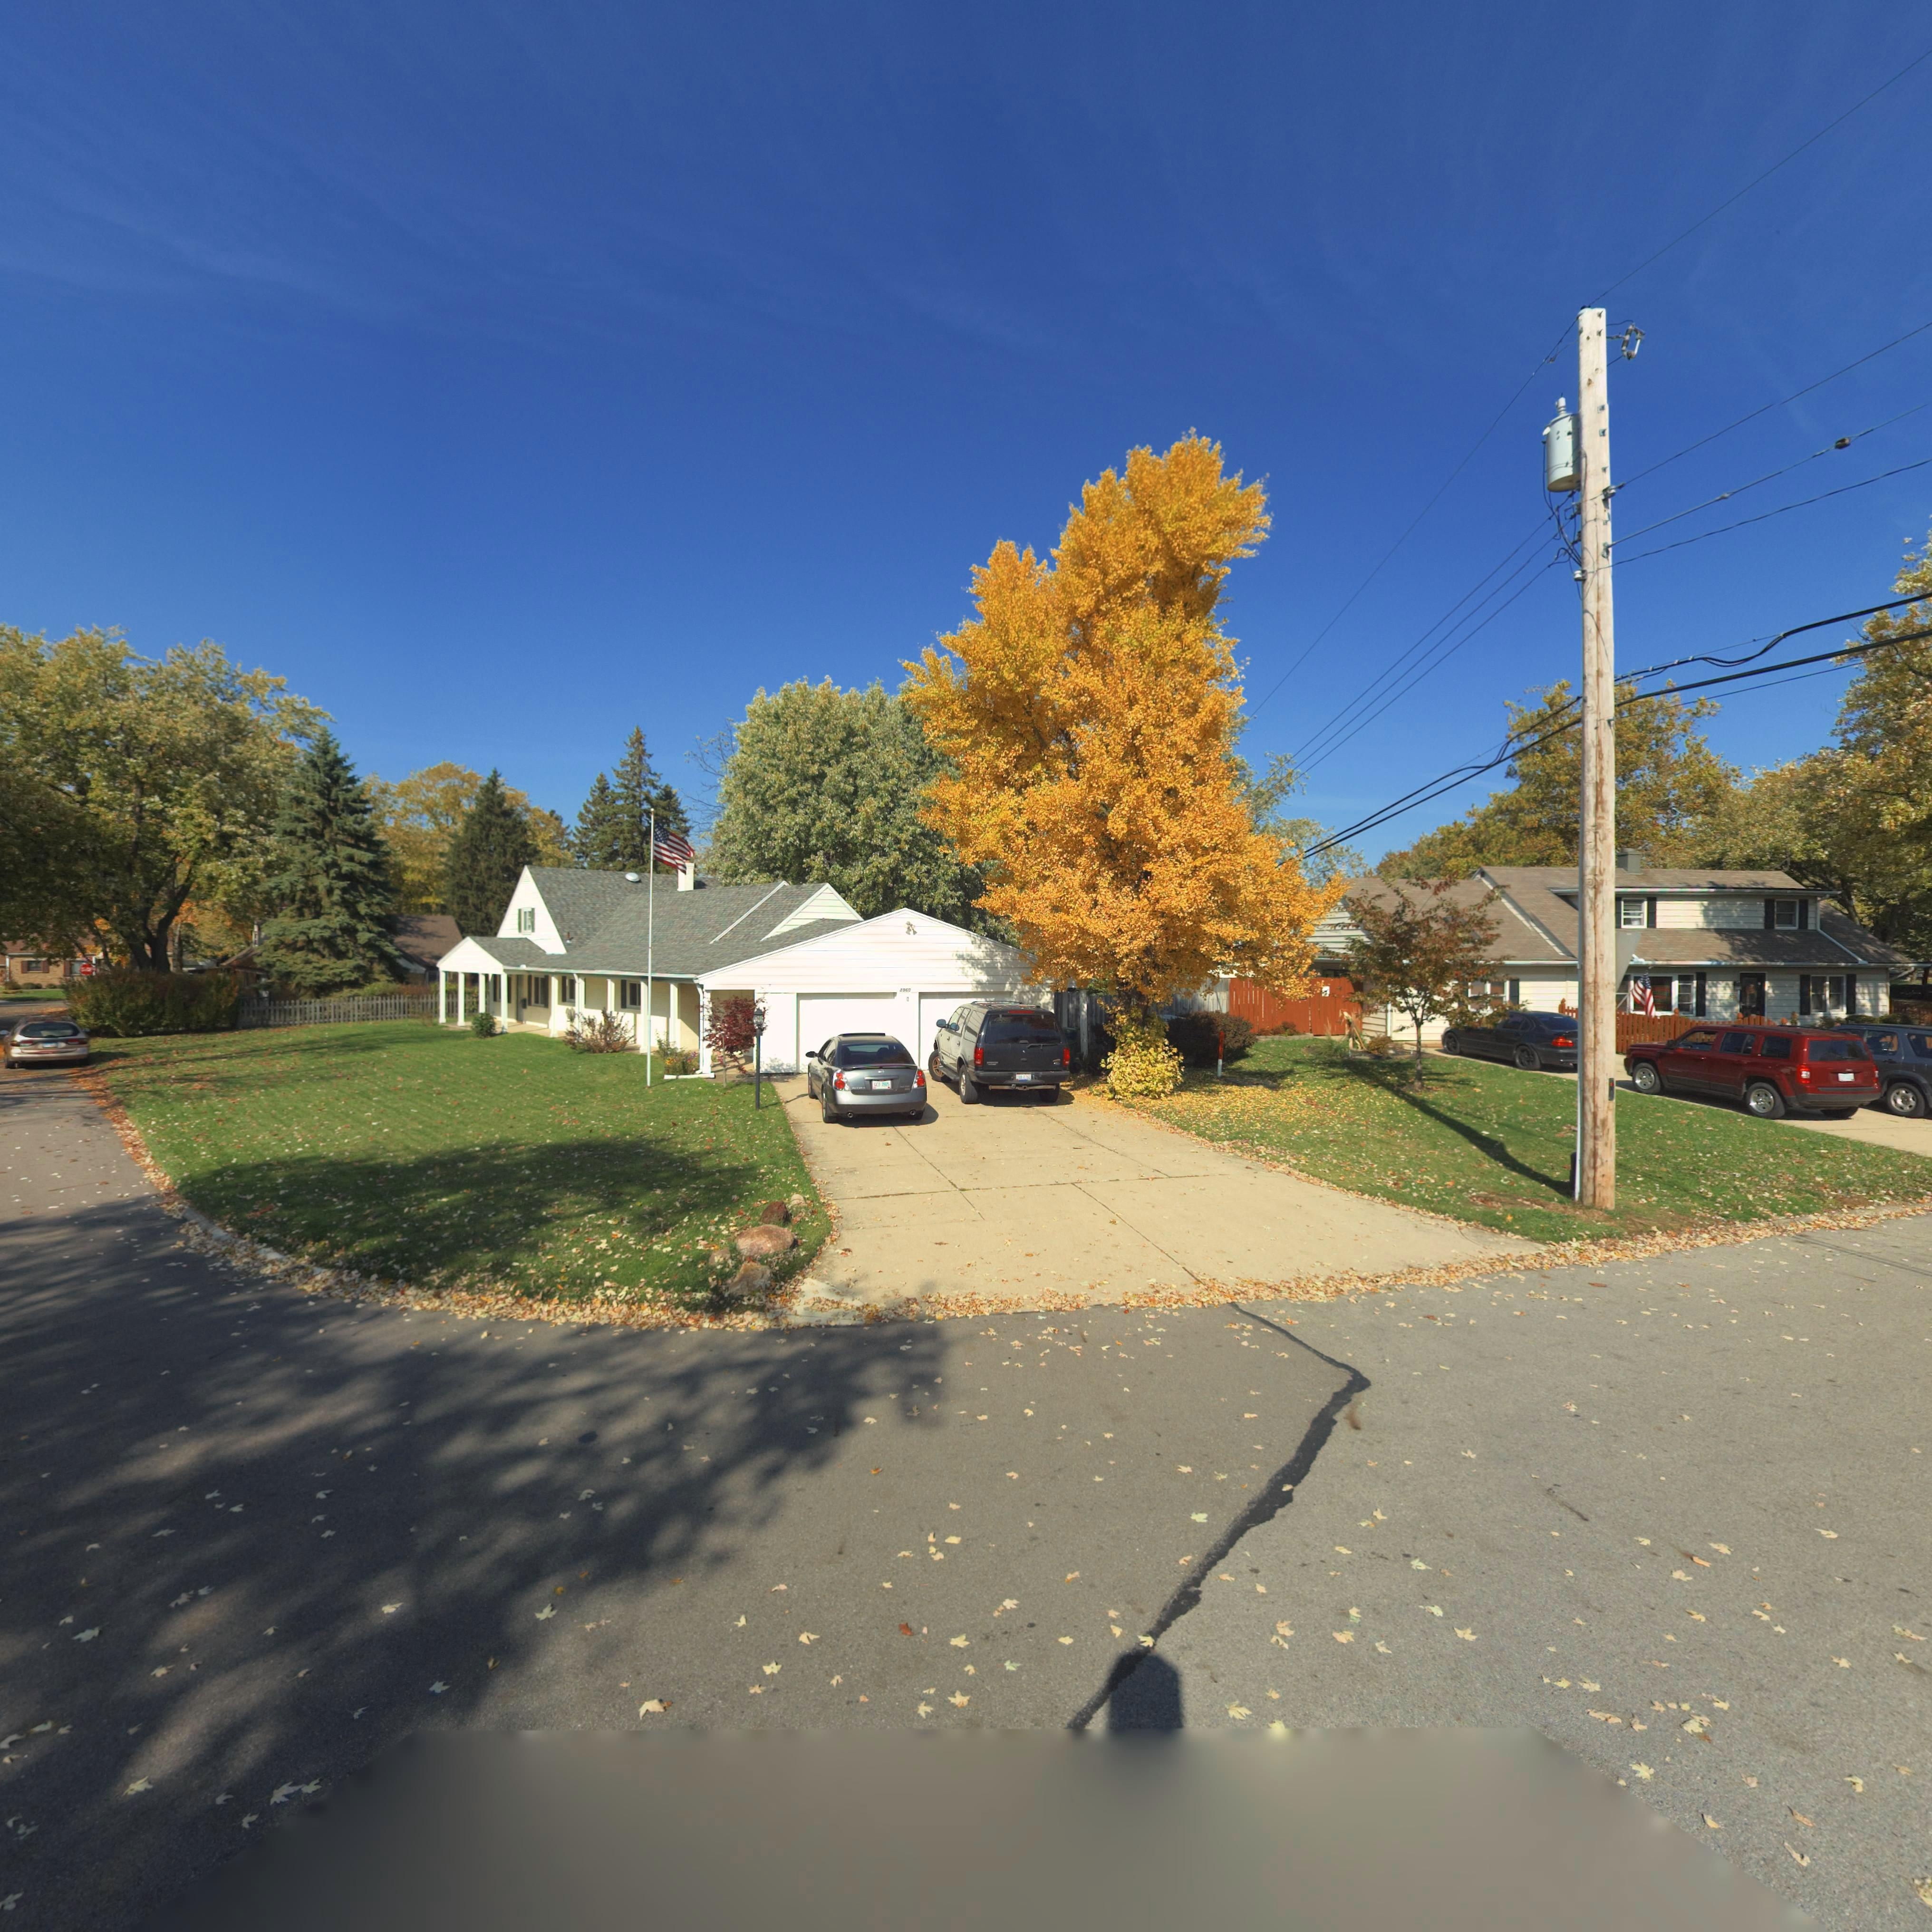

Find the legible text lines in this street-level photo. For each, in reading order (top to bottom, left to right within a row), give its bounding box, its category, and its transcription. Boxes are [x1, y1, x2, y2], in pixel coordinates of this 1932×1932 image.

[898, 987, 912, 993] StreetNumber: 3960